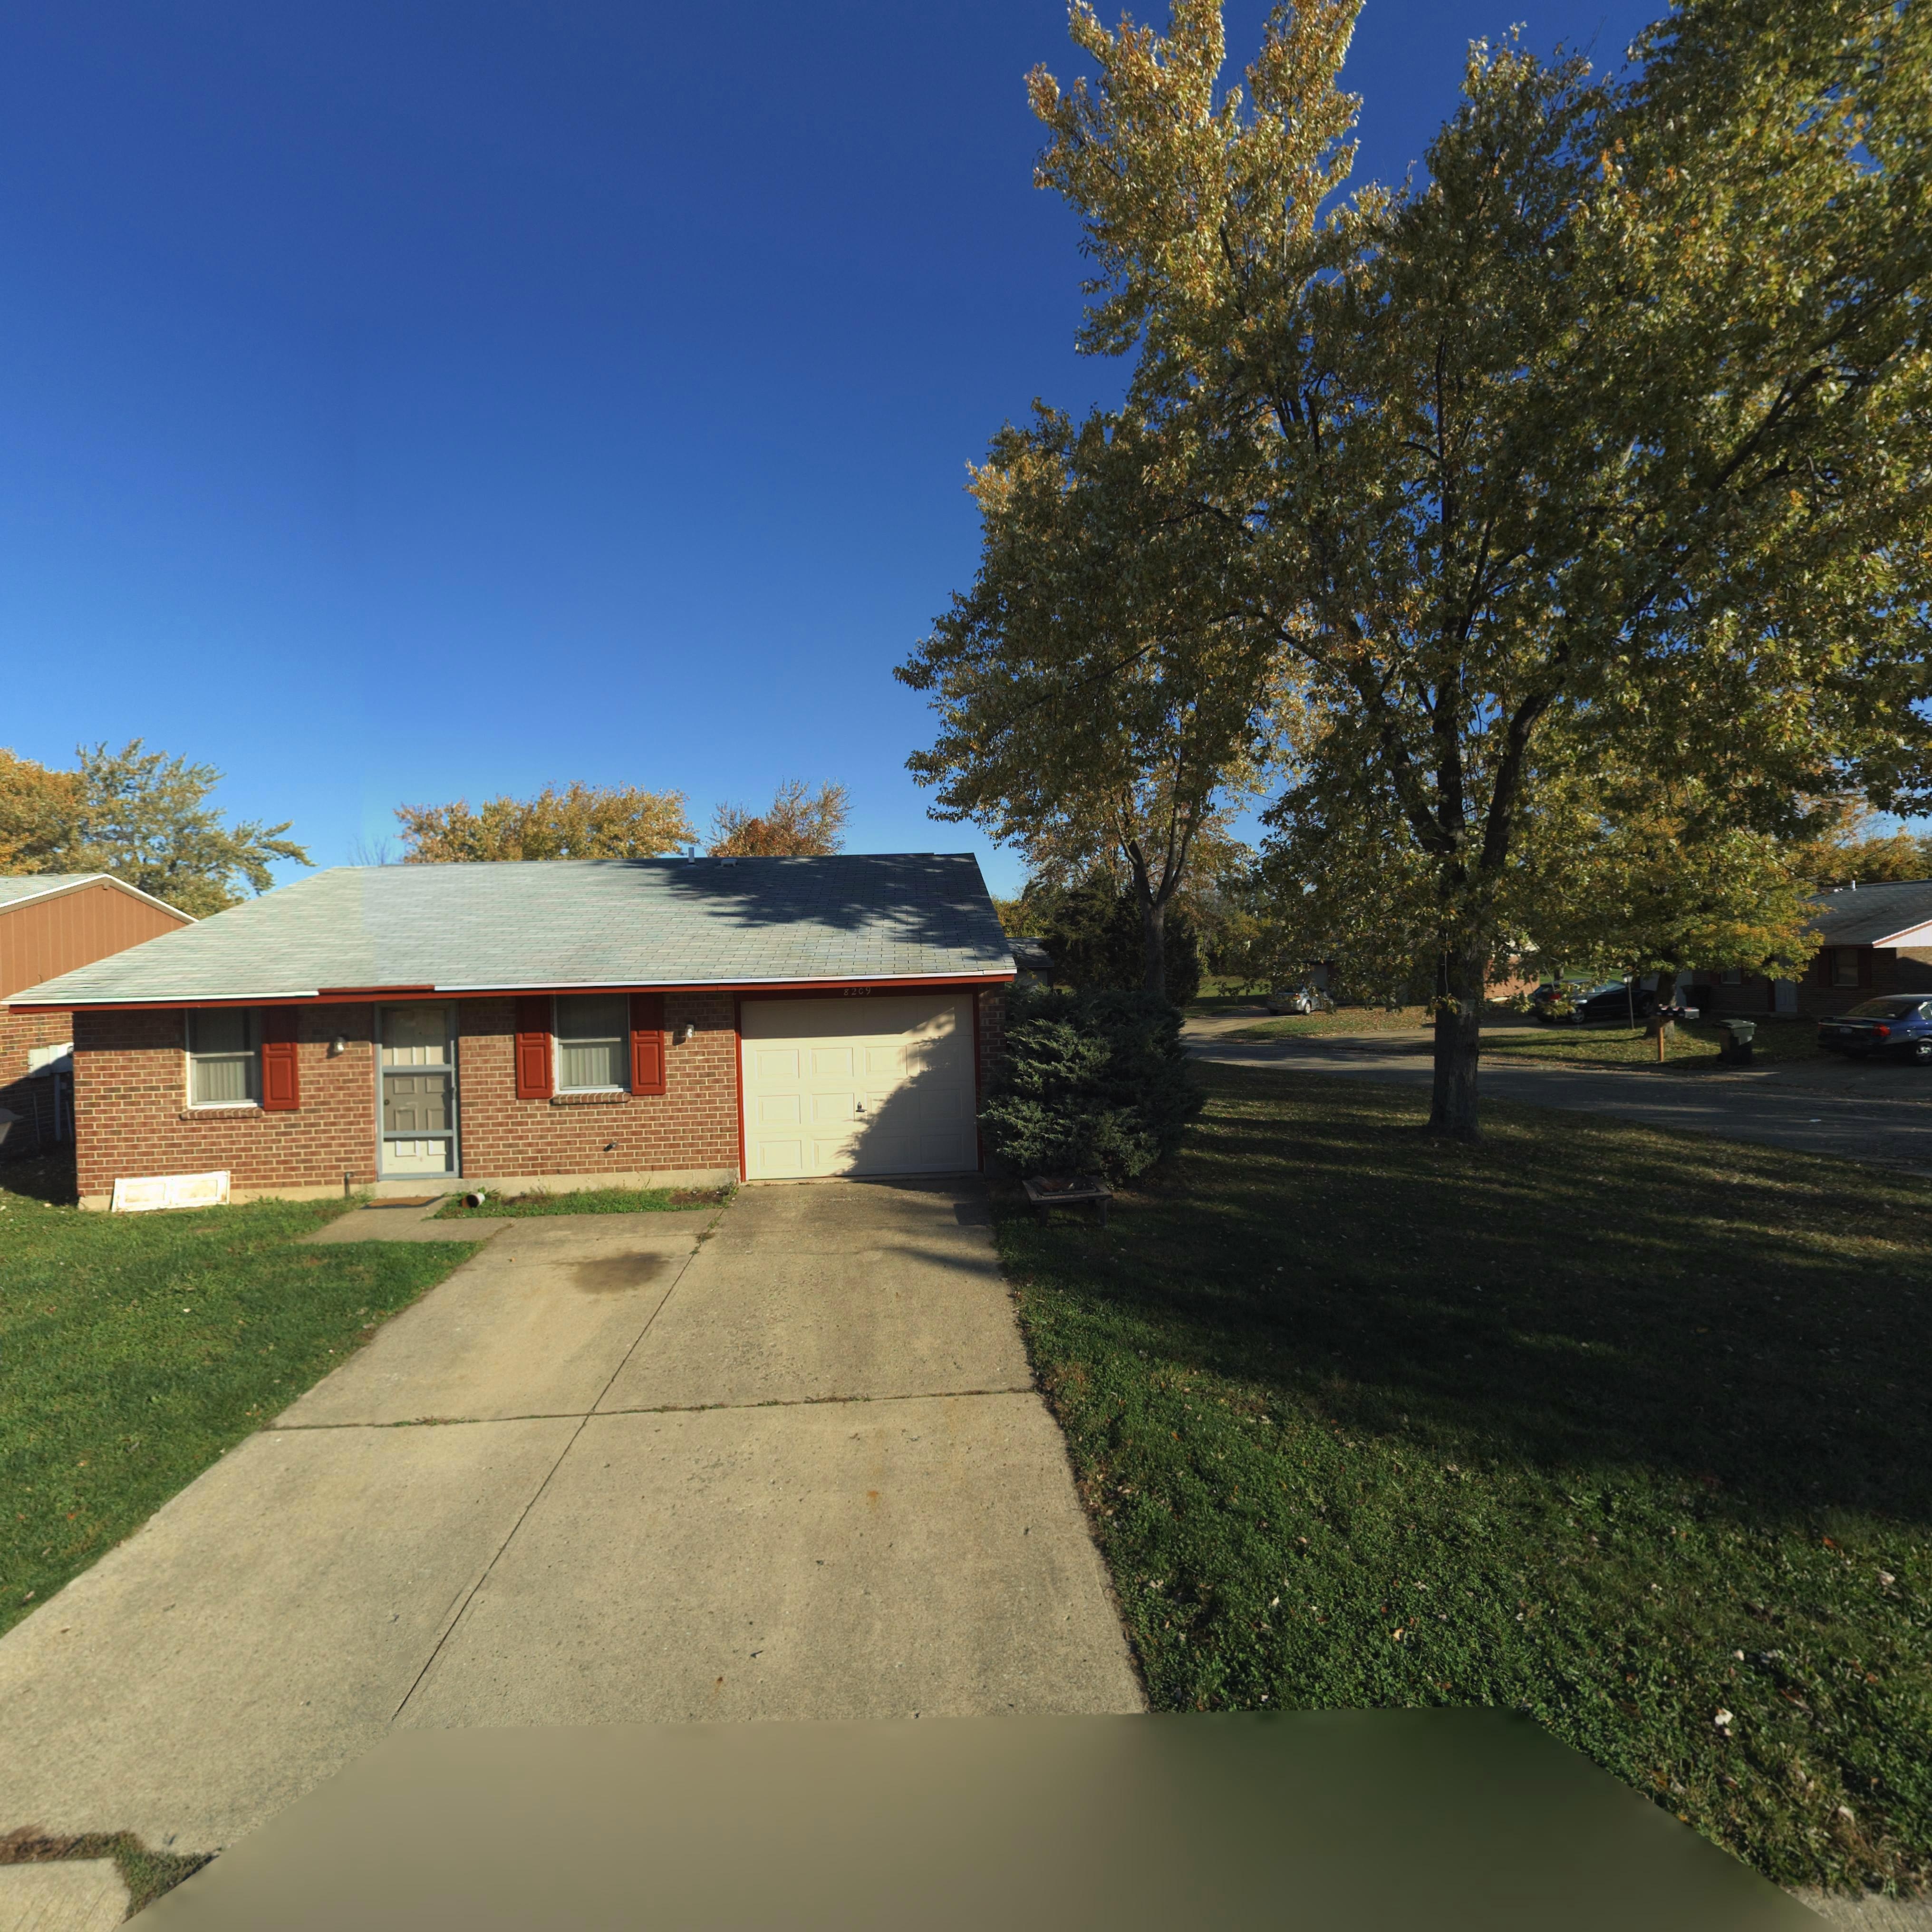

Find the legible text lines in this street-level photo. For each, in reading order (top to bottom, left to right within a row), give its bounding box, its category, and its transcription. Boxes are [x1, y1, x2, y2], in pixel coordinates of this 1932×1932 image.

[843, 986, 871, 996] StreetNumber: 8209